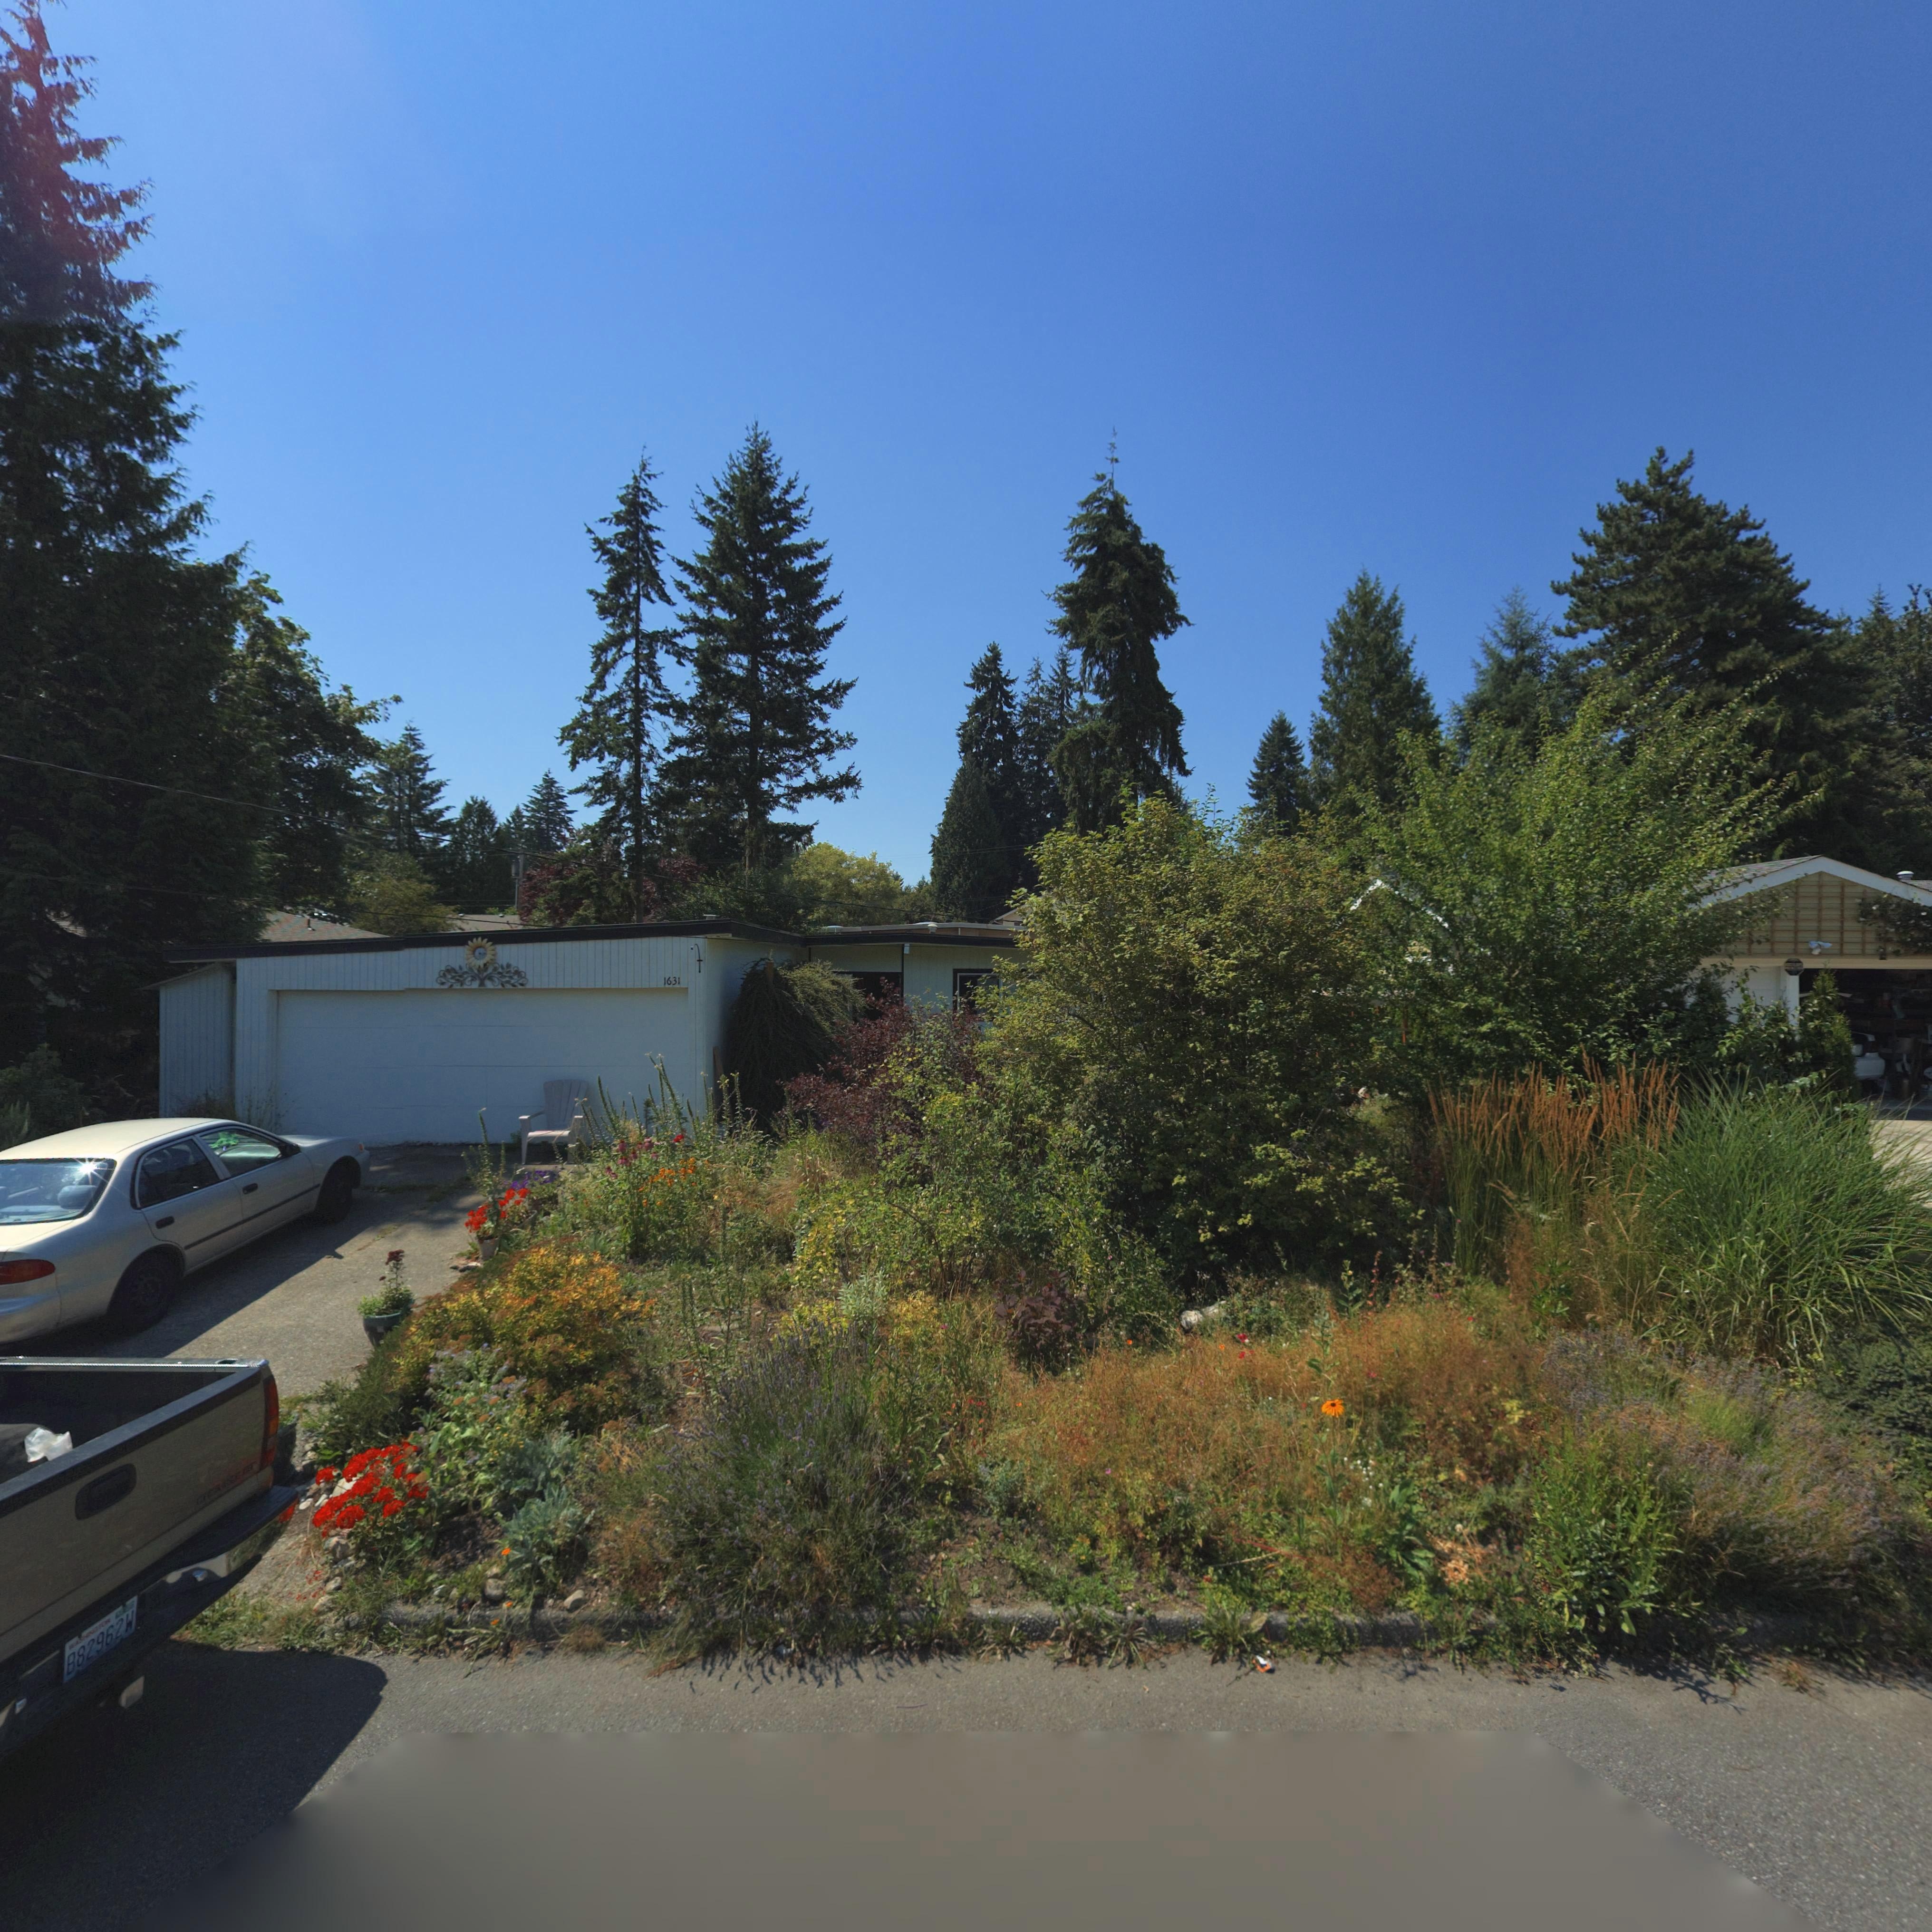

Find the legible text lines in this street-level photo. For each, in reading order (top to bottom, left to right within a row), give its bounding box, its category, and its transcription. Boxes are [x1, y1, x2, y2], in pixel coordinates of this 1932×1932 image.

[664, 976, 681, 987] StreetNumber: 1631